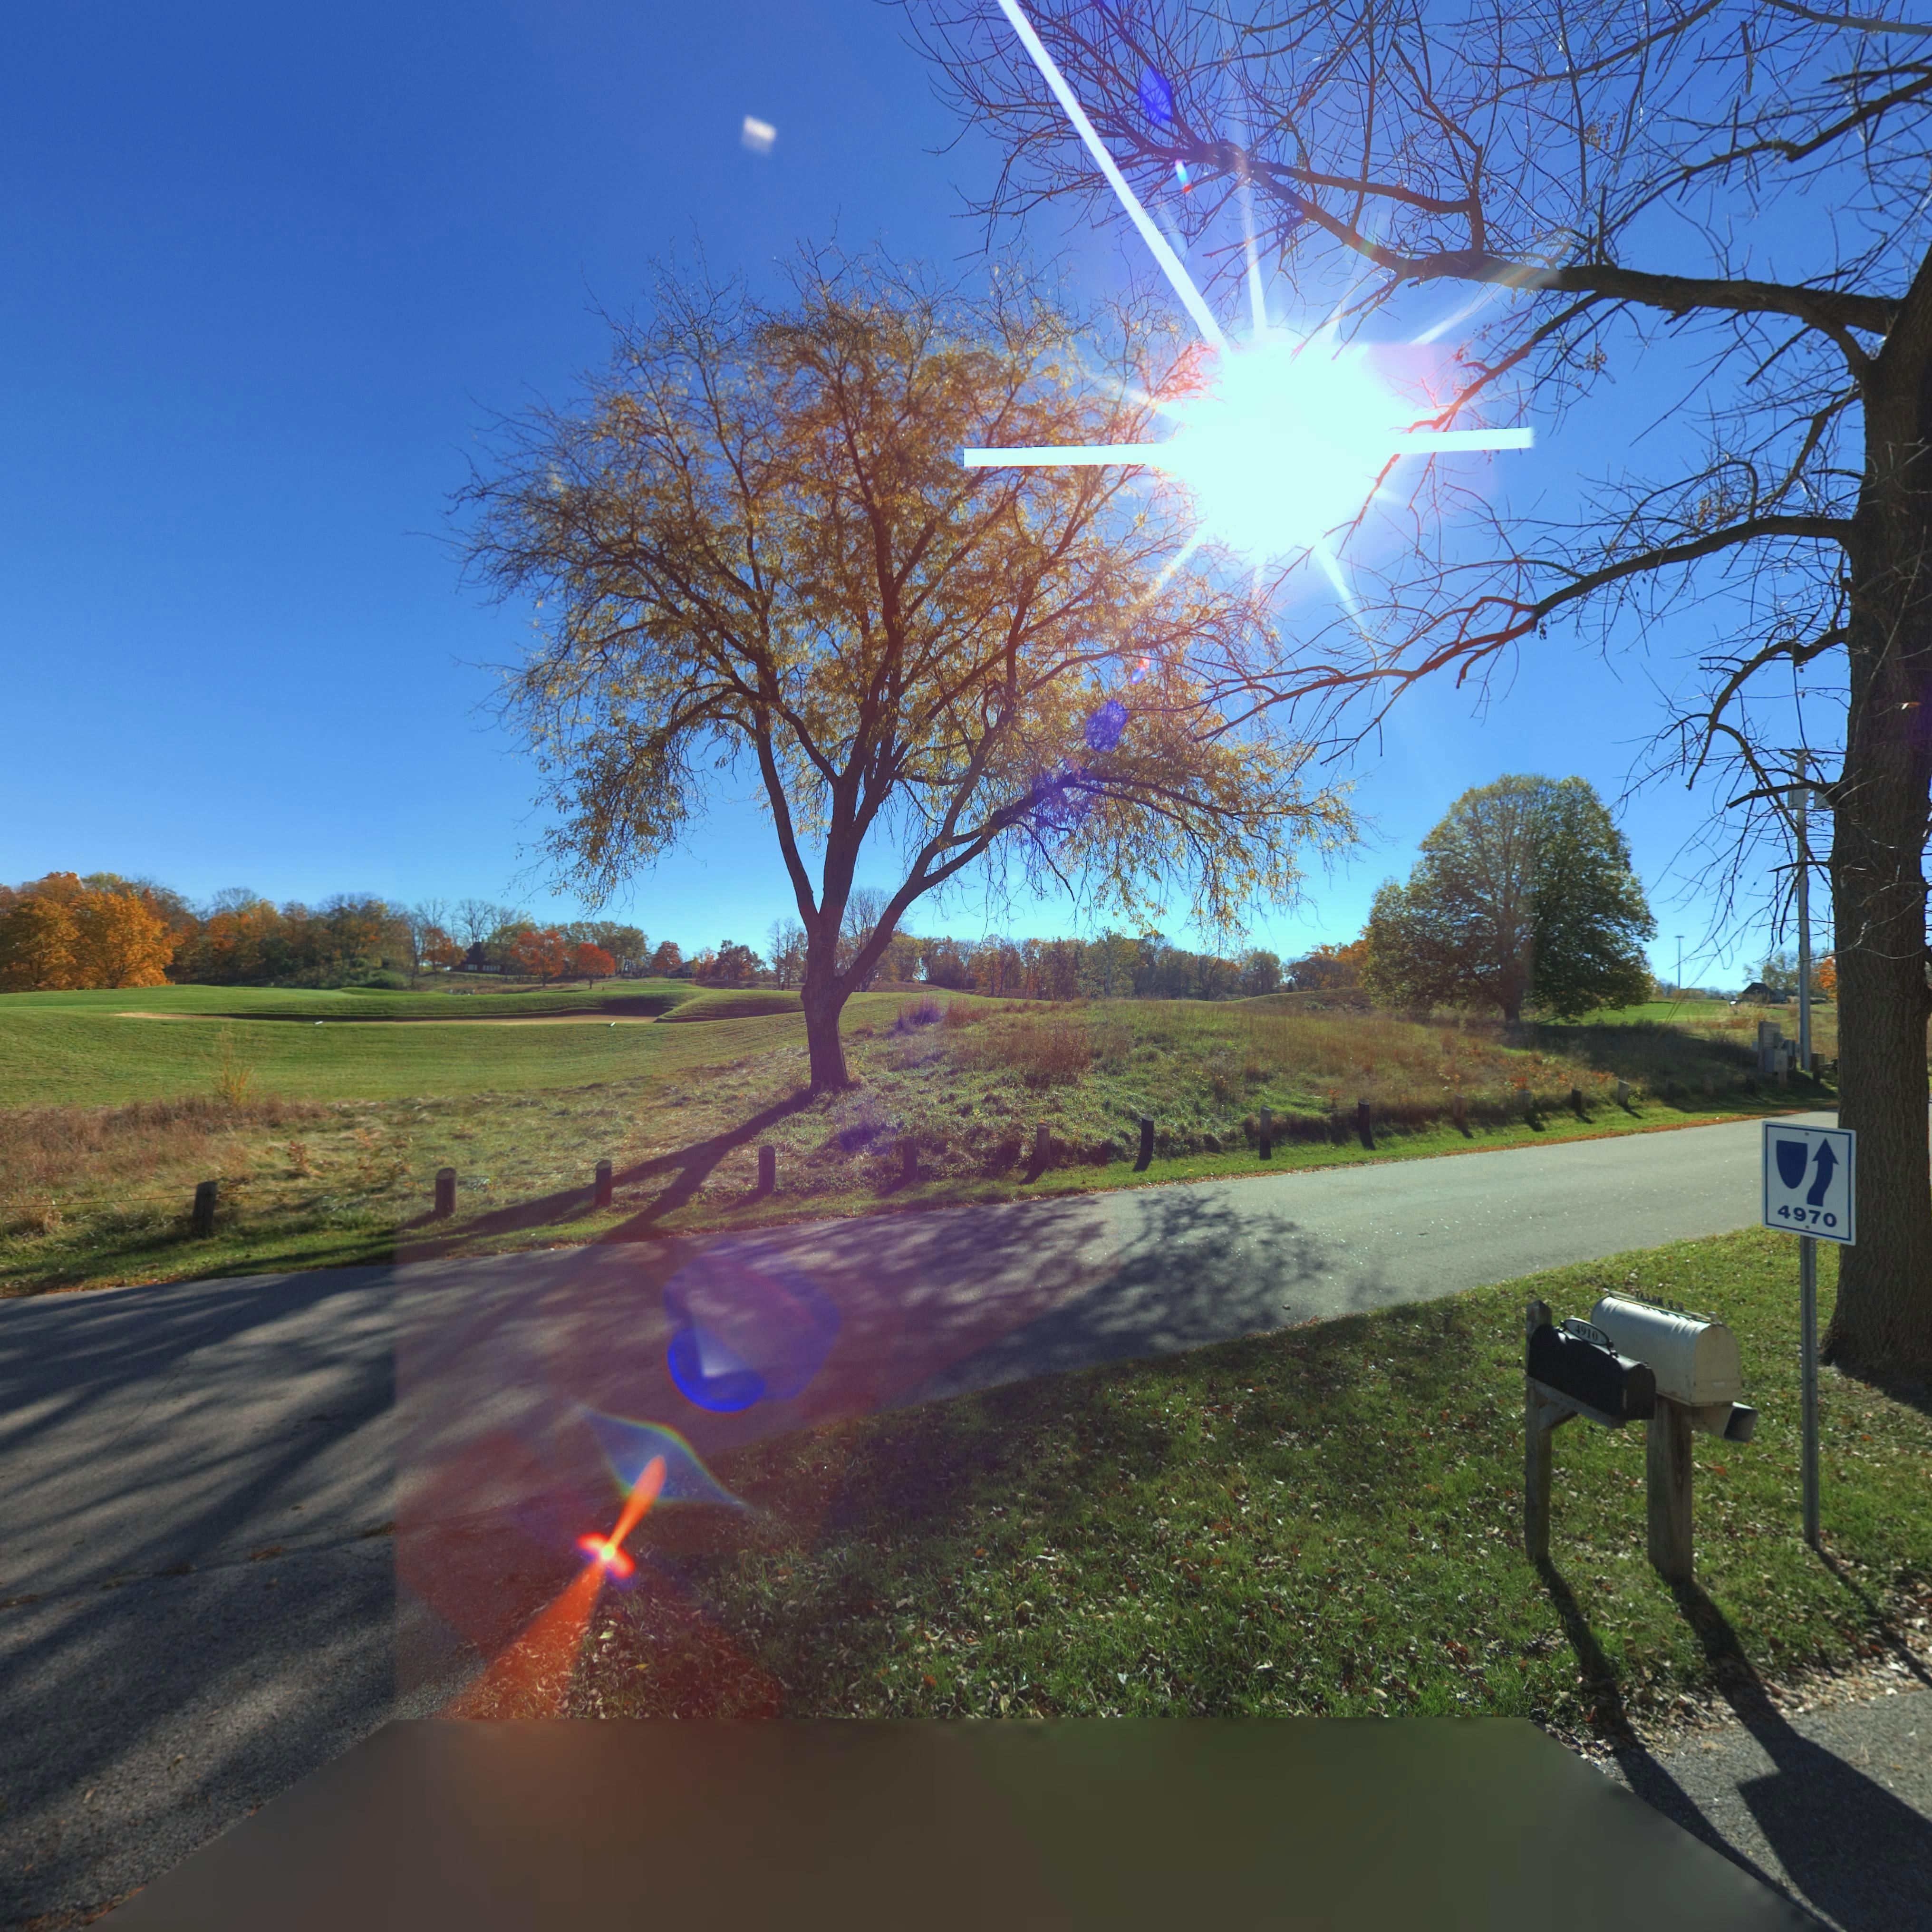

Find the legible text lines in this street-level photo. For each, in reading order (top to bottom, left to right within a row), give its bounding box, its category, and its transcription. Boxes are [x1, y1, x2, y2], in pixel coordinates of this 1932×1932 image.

[1776, 1203, 1838, 1228] None: 4970
[1573, 1323, 1599, 1343] StreetNumber: 4910
[1524, 1305, 1542, 1411] StreetNumber: 4**0